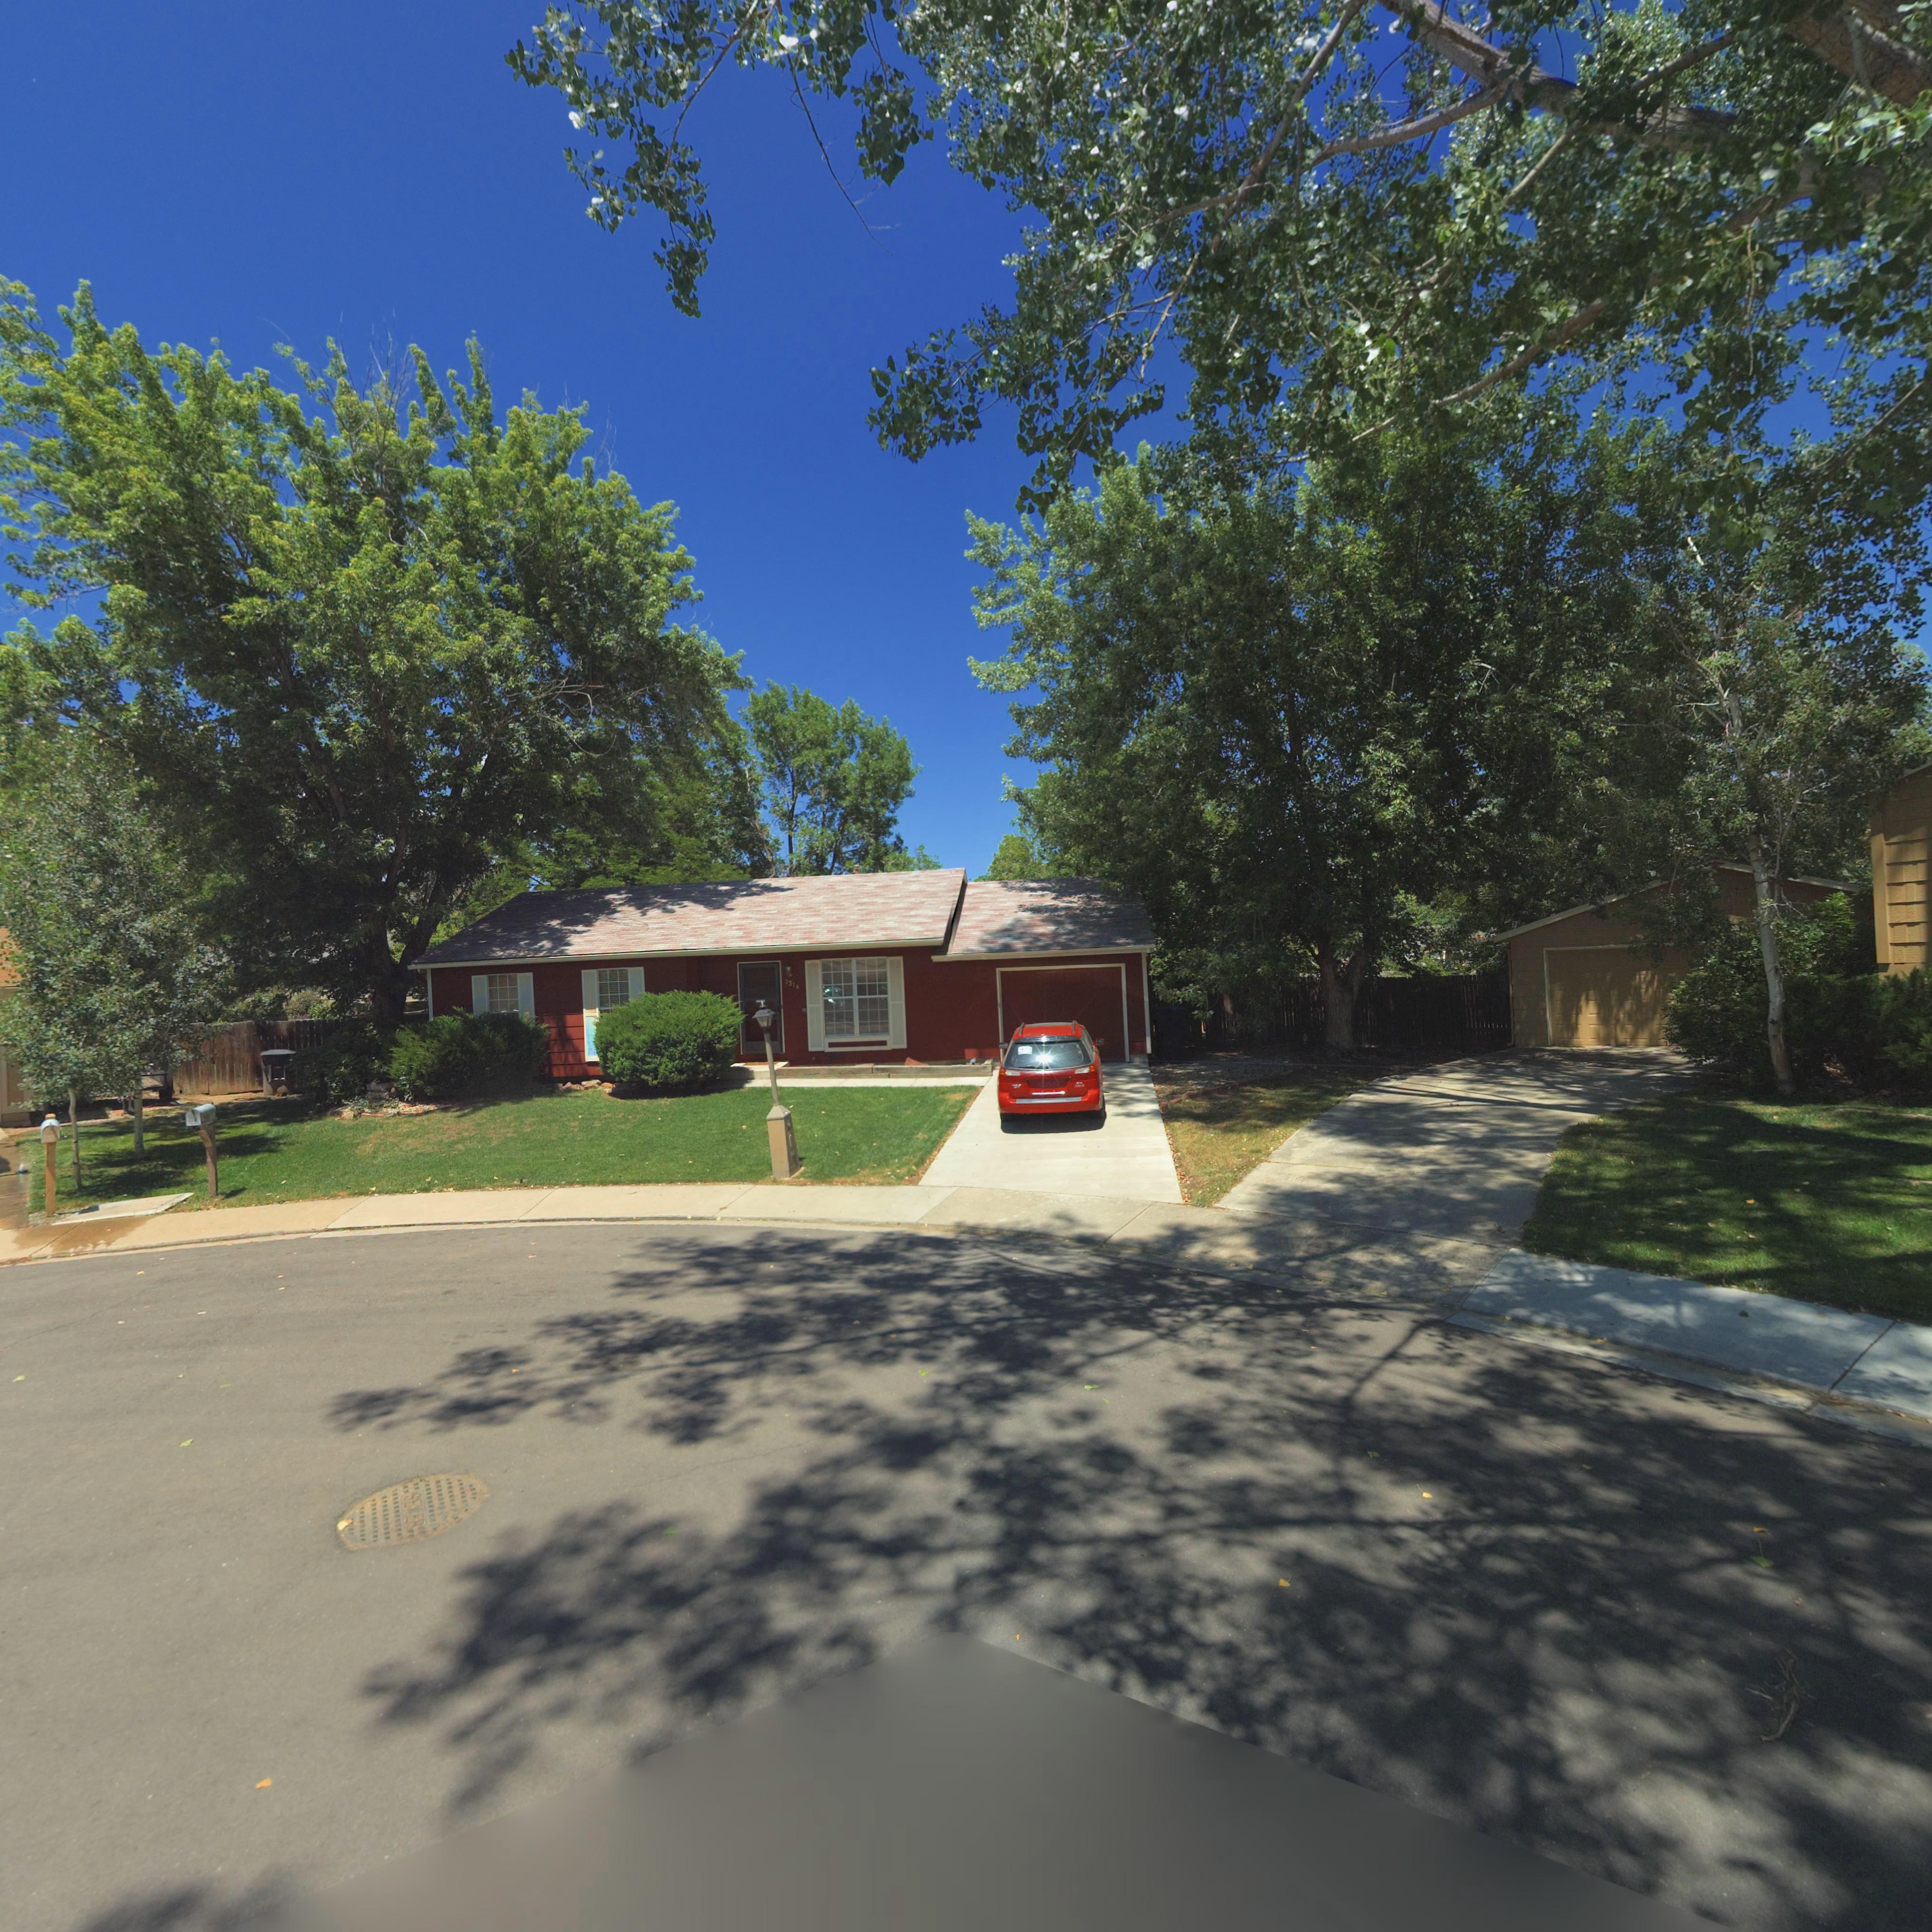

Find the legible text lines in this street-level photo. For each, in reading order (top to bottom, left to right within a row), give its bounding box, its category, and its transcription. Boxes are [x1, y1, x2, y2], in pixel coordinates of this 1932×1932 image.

[785, 979, 799, 990] StreetNumber: 2314